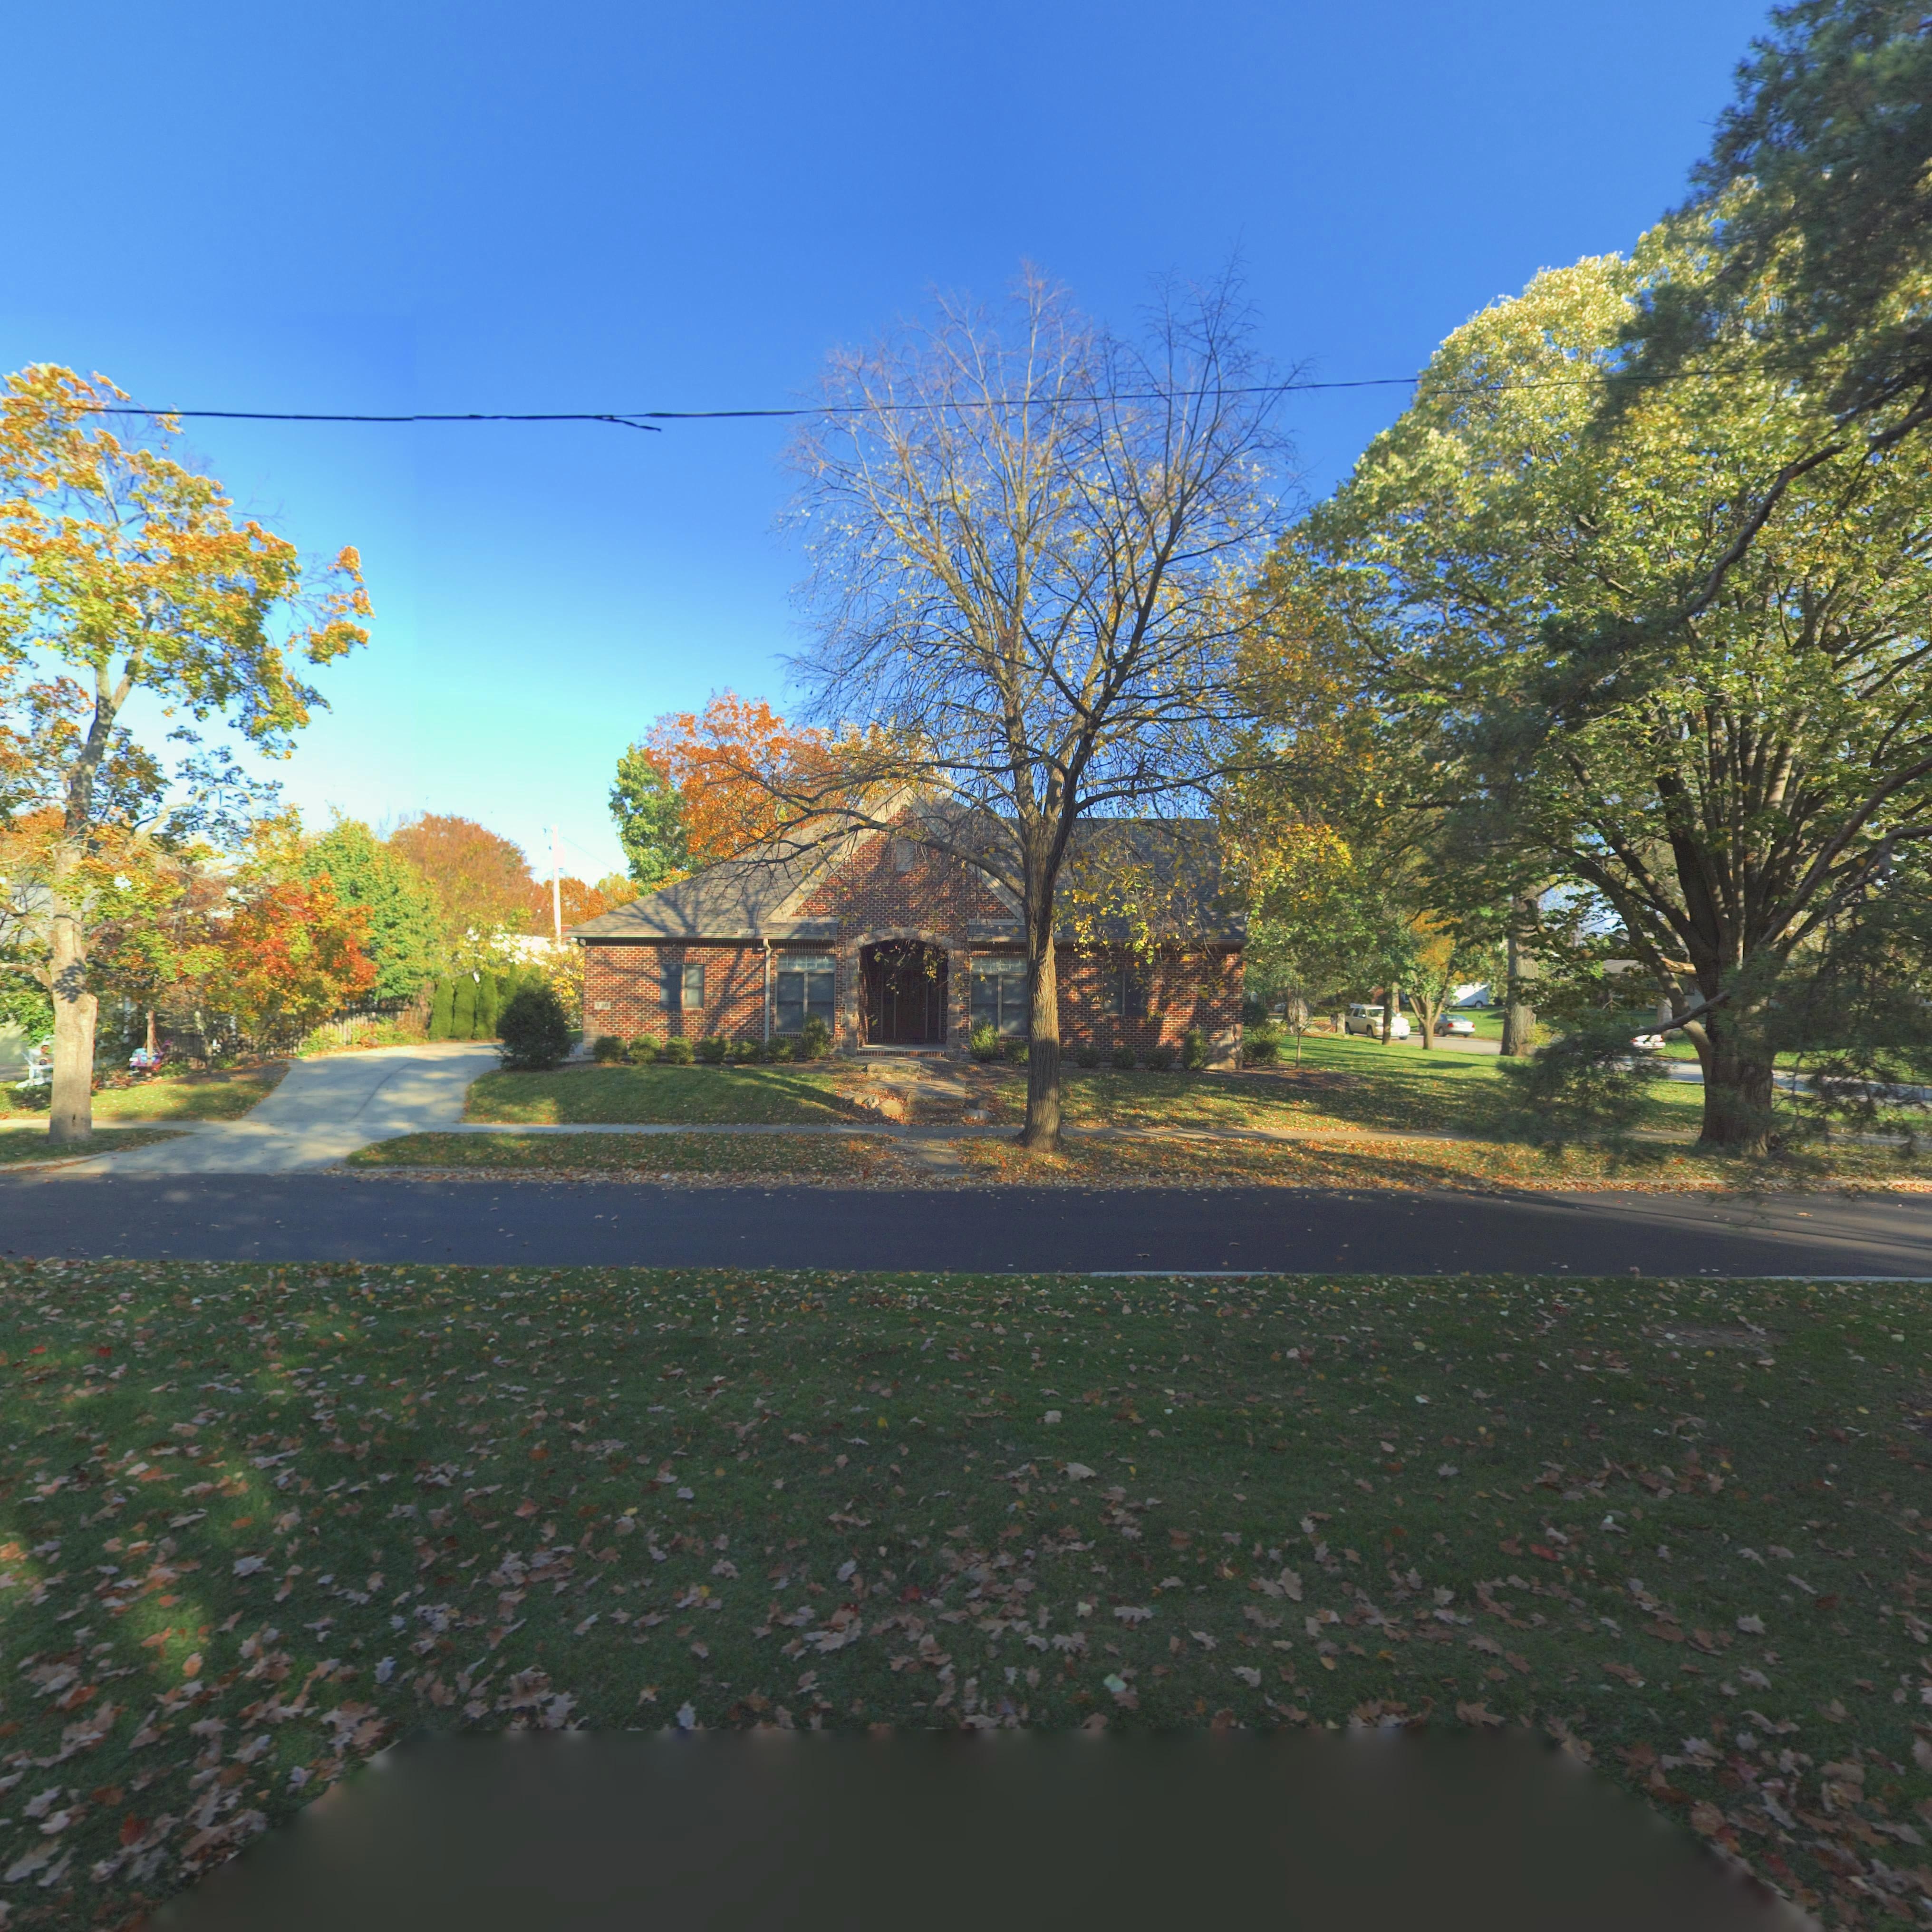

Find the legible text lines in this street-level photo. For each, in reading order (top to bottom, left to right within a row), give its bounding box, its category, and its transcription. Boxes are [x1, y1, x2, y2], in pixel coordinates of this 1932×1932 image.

[596, 1003, 609, 1008] StreetNumber: 820